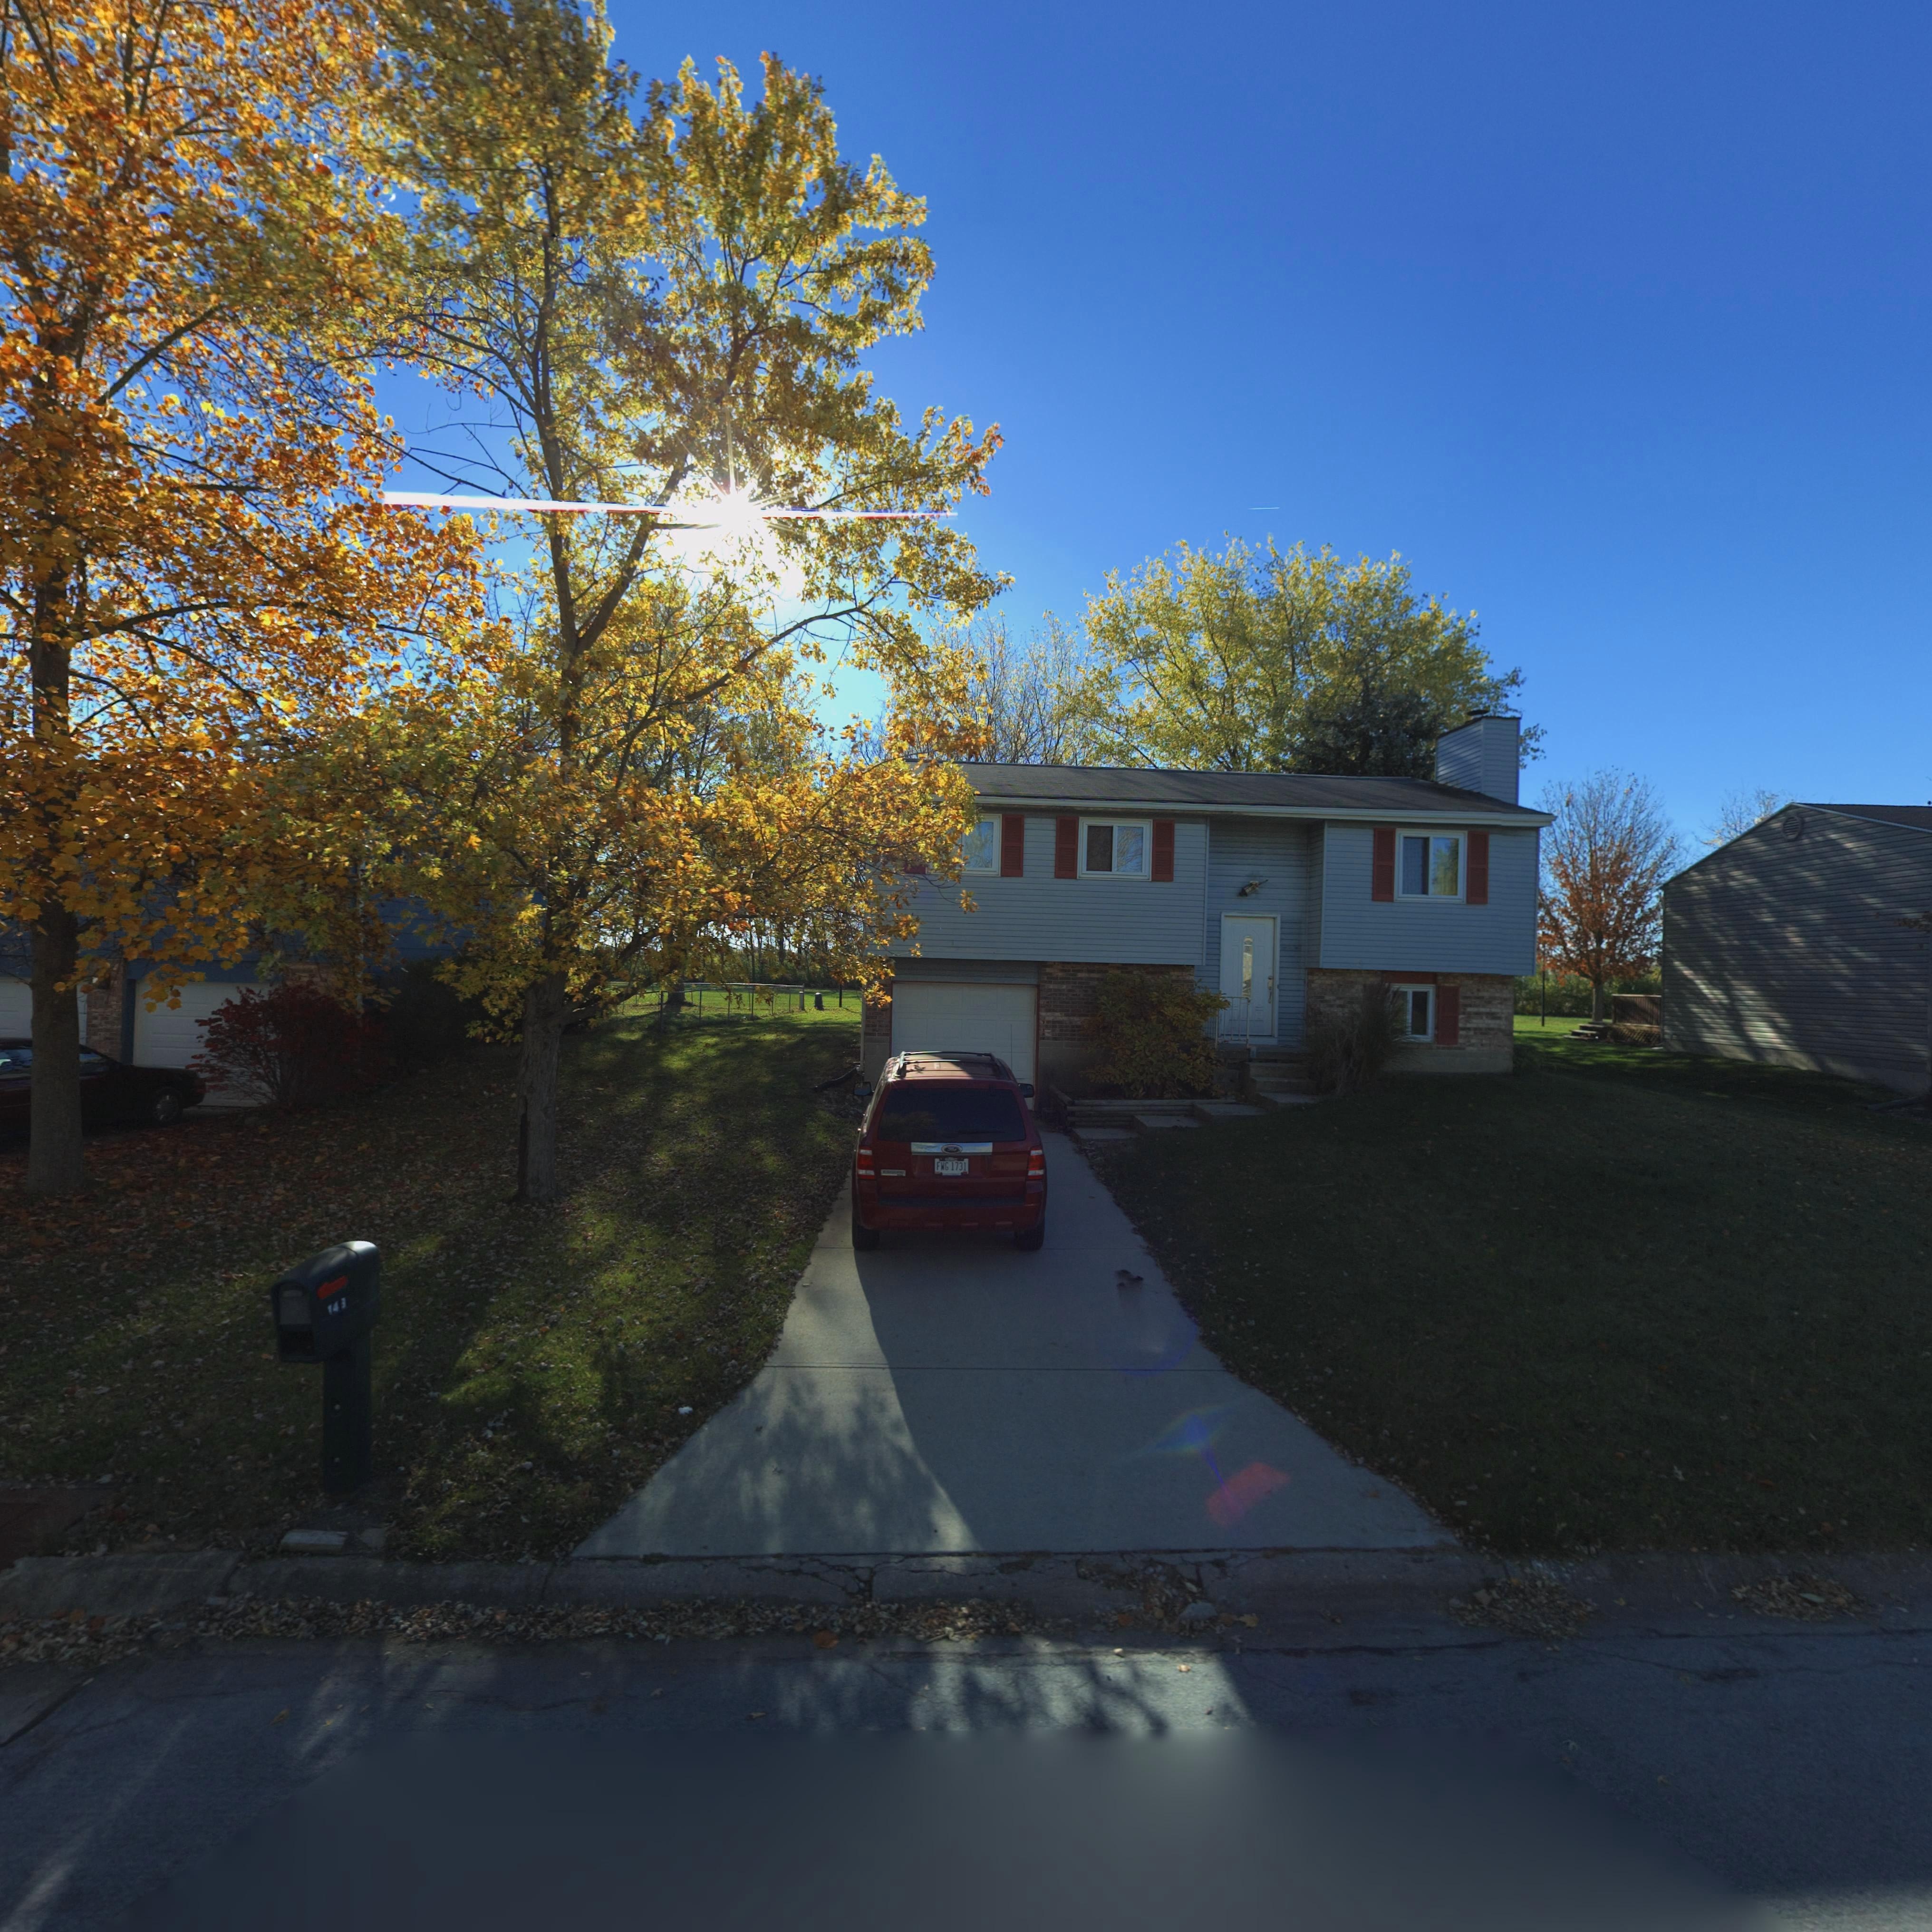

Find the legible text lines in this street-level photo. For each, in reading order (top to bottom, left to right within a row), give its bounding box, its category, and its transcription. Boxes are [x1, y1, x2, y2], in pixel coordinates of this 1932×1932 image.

[326, 1296, 347, 1317] StreetNumber: 143